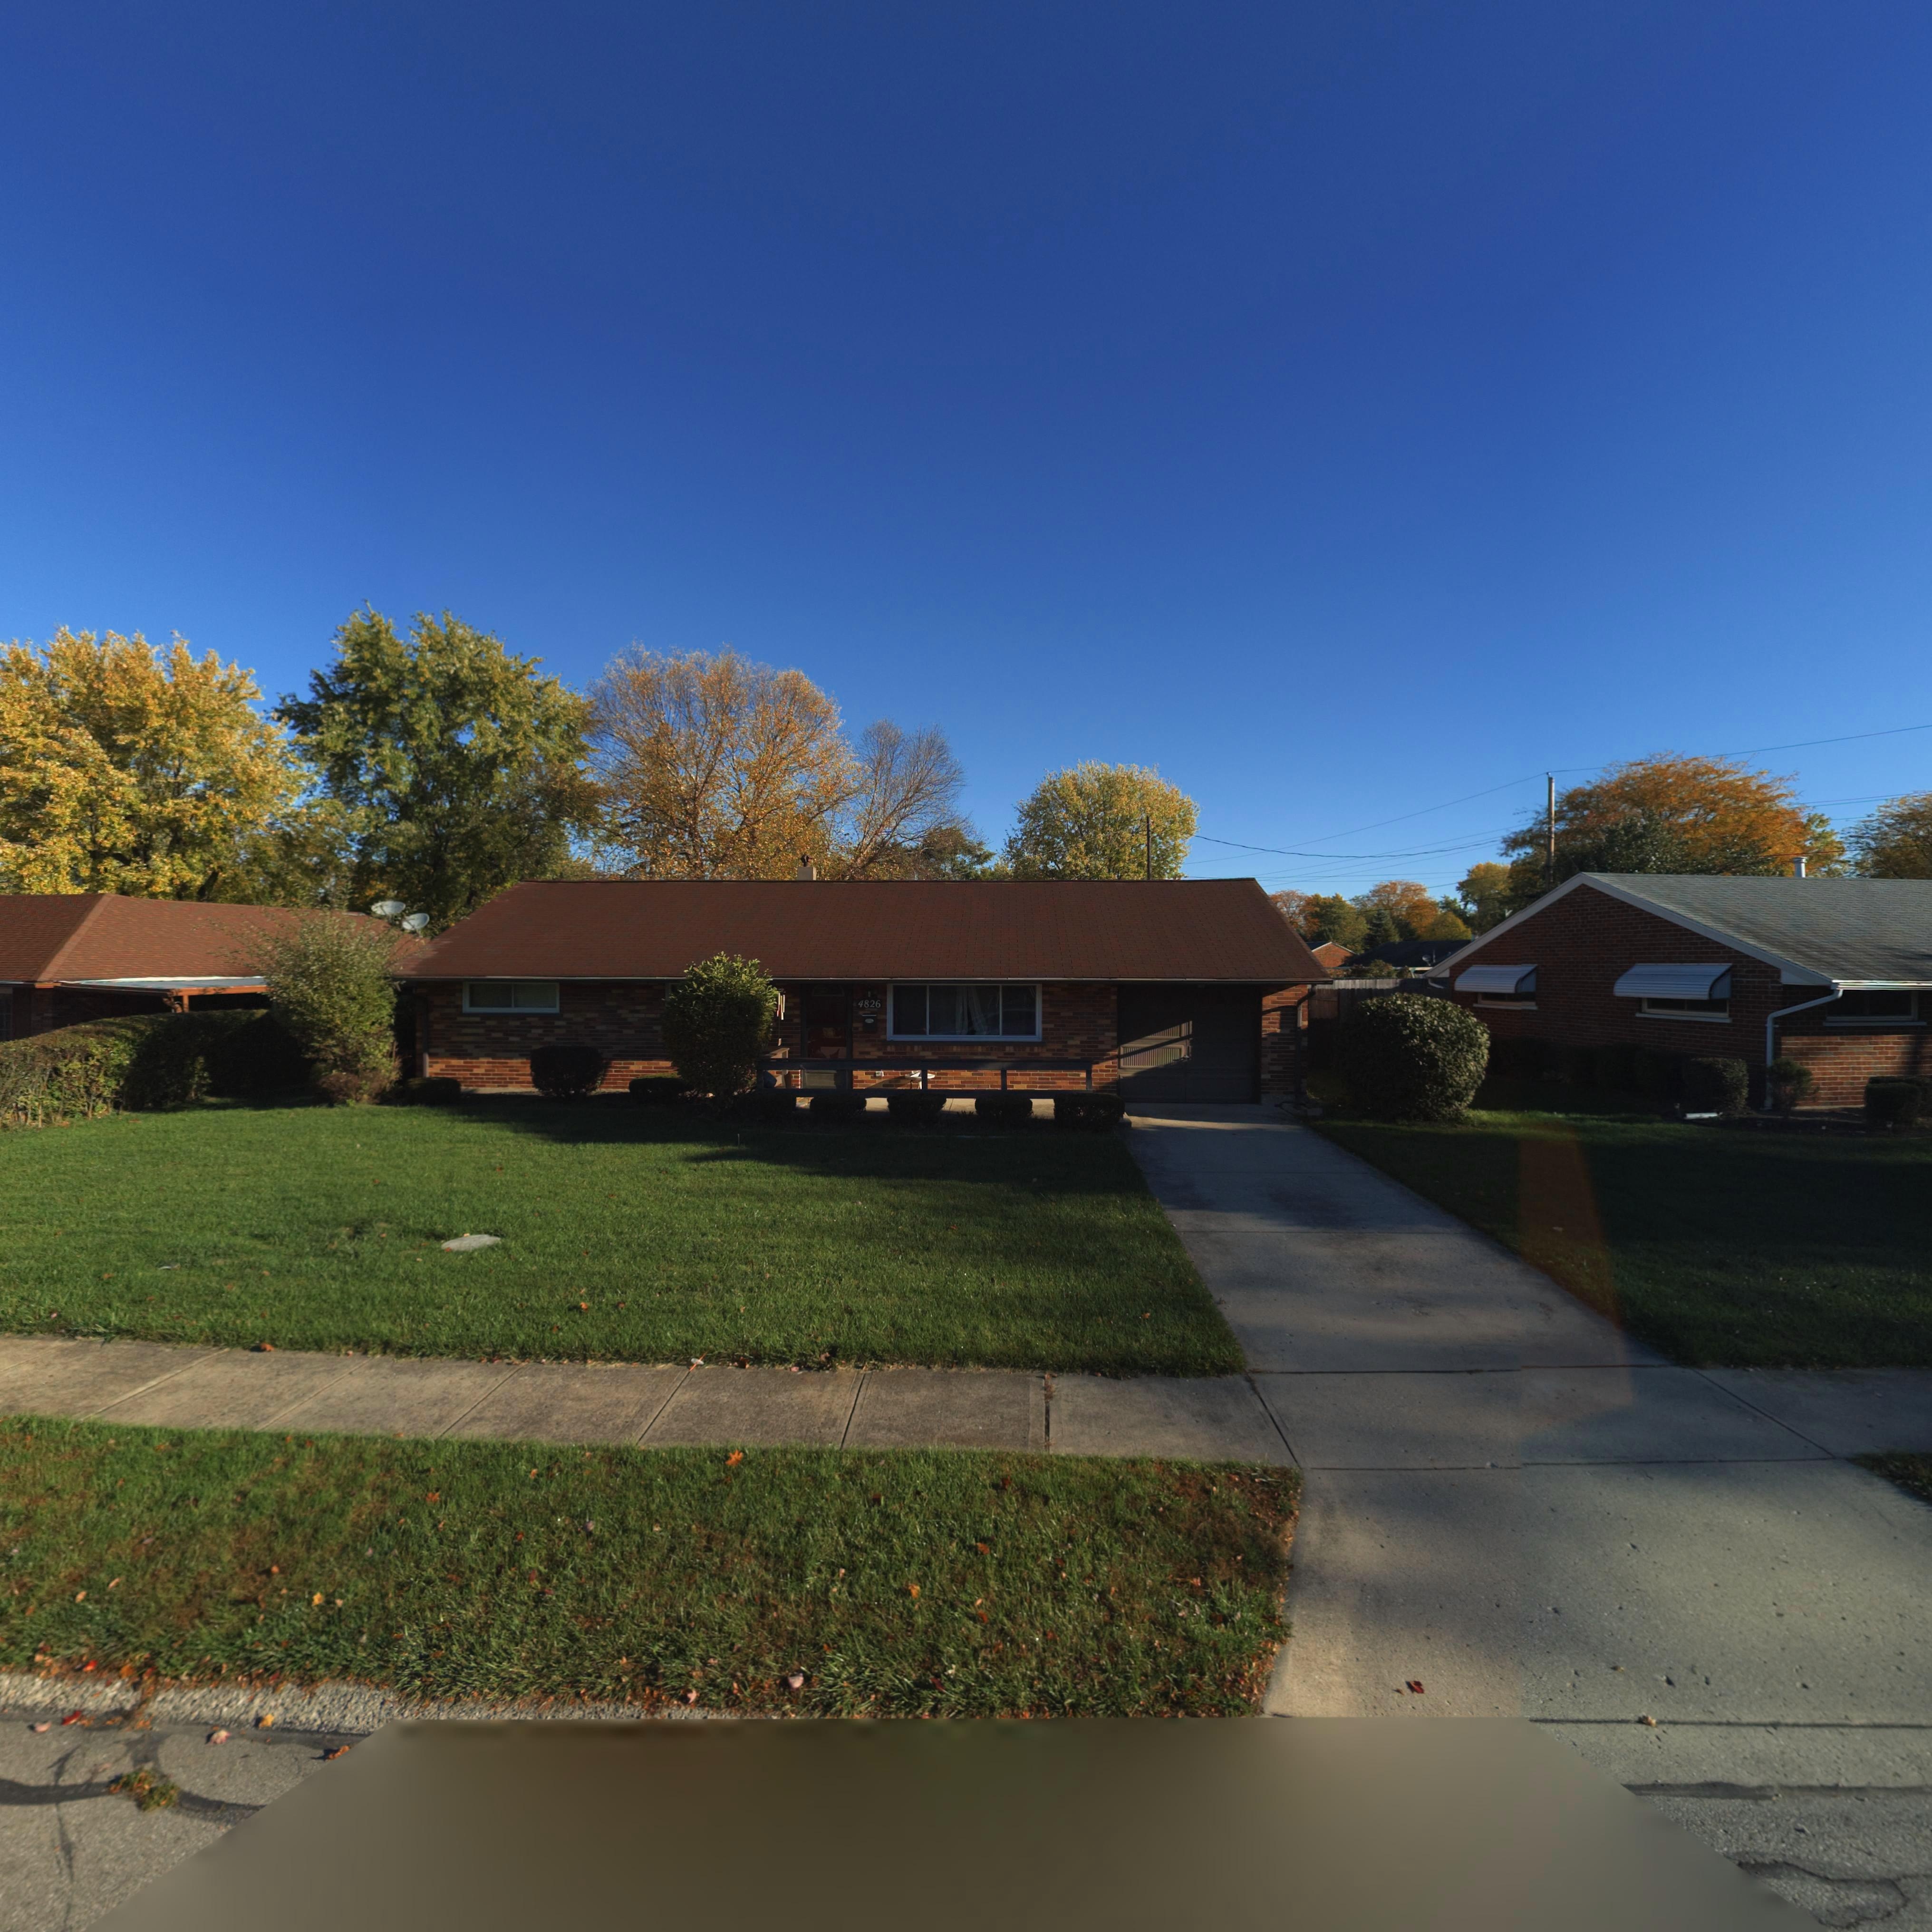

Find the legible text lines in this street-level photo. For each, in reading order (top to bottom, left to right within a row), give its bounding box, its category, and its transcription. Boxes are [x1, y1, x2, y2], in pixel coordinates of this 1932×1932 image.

[857, 999, 882, 1008] StreetNumber: 4826